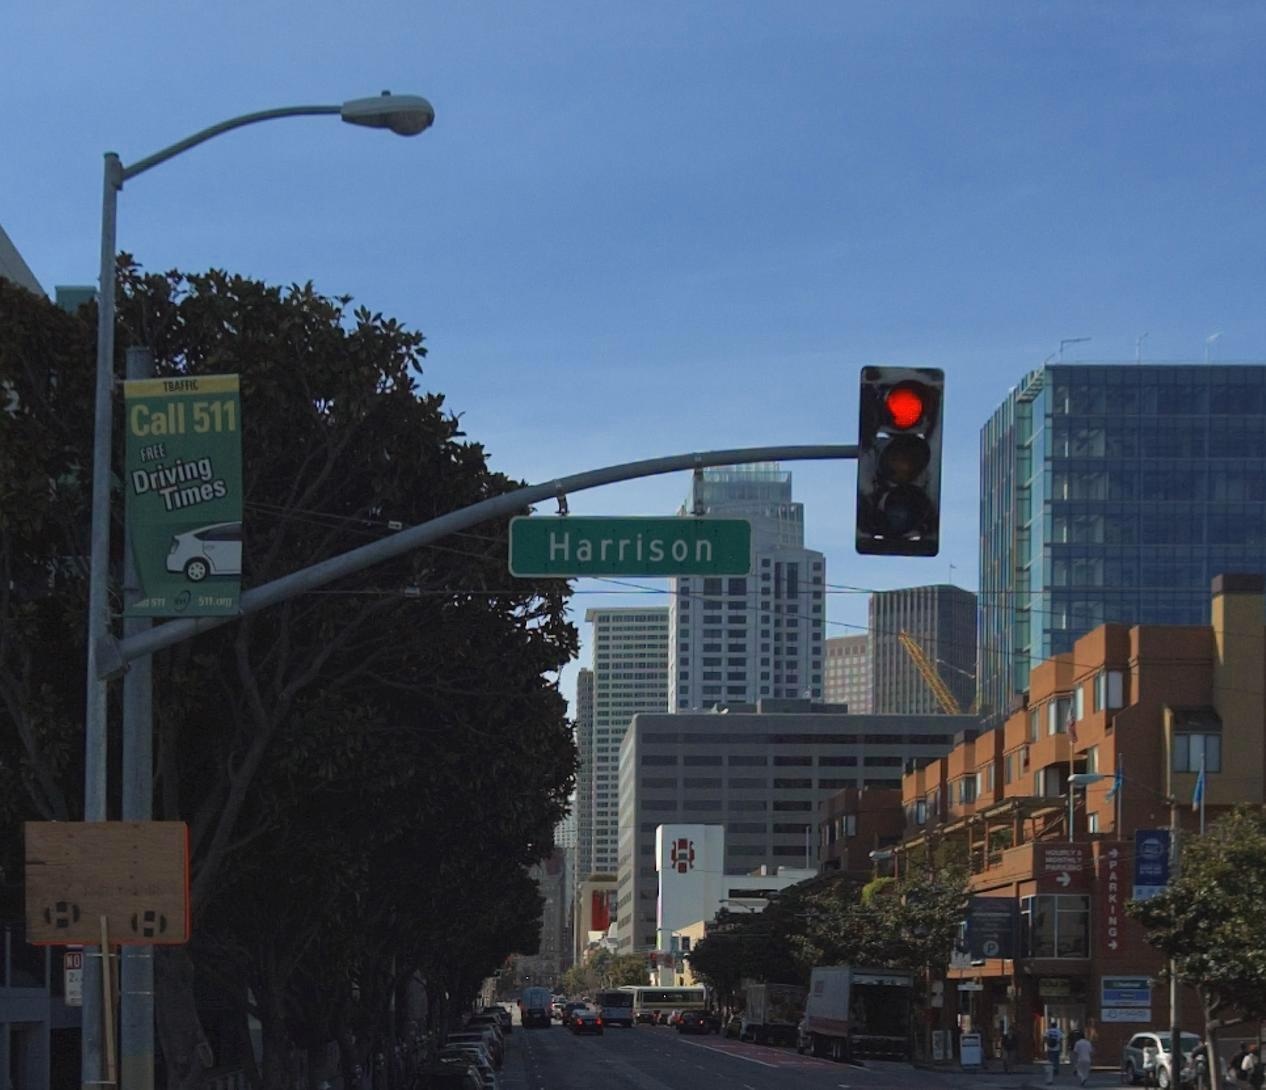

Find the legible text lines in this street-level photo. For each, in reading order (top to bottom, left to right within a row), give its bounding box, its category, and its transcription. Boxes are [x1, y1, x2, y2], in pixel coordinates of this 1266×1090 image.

[127, 396, 238, 440] None: Call 511
[135, 439, 170, 466] None: FREE
[127, 454, 216, 499] None: Driving
[154, 478, 229, 516] None: Times
[546, 529, 715, 567] StreetName: Harrison
[1105, 858, 1120, 939] None: PARKING
[46, 900, 76, 931] None: H
[134, 908, 163, 938] None: H
[64, 952, 82, 970] None: NO
[985, 941, 998, 956] None: P
[66, 971, 77, 984] None: 2